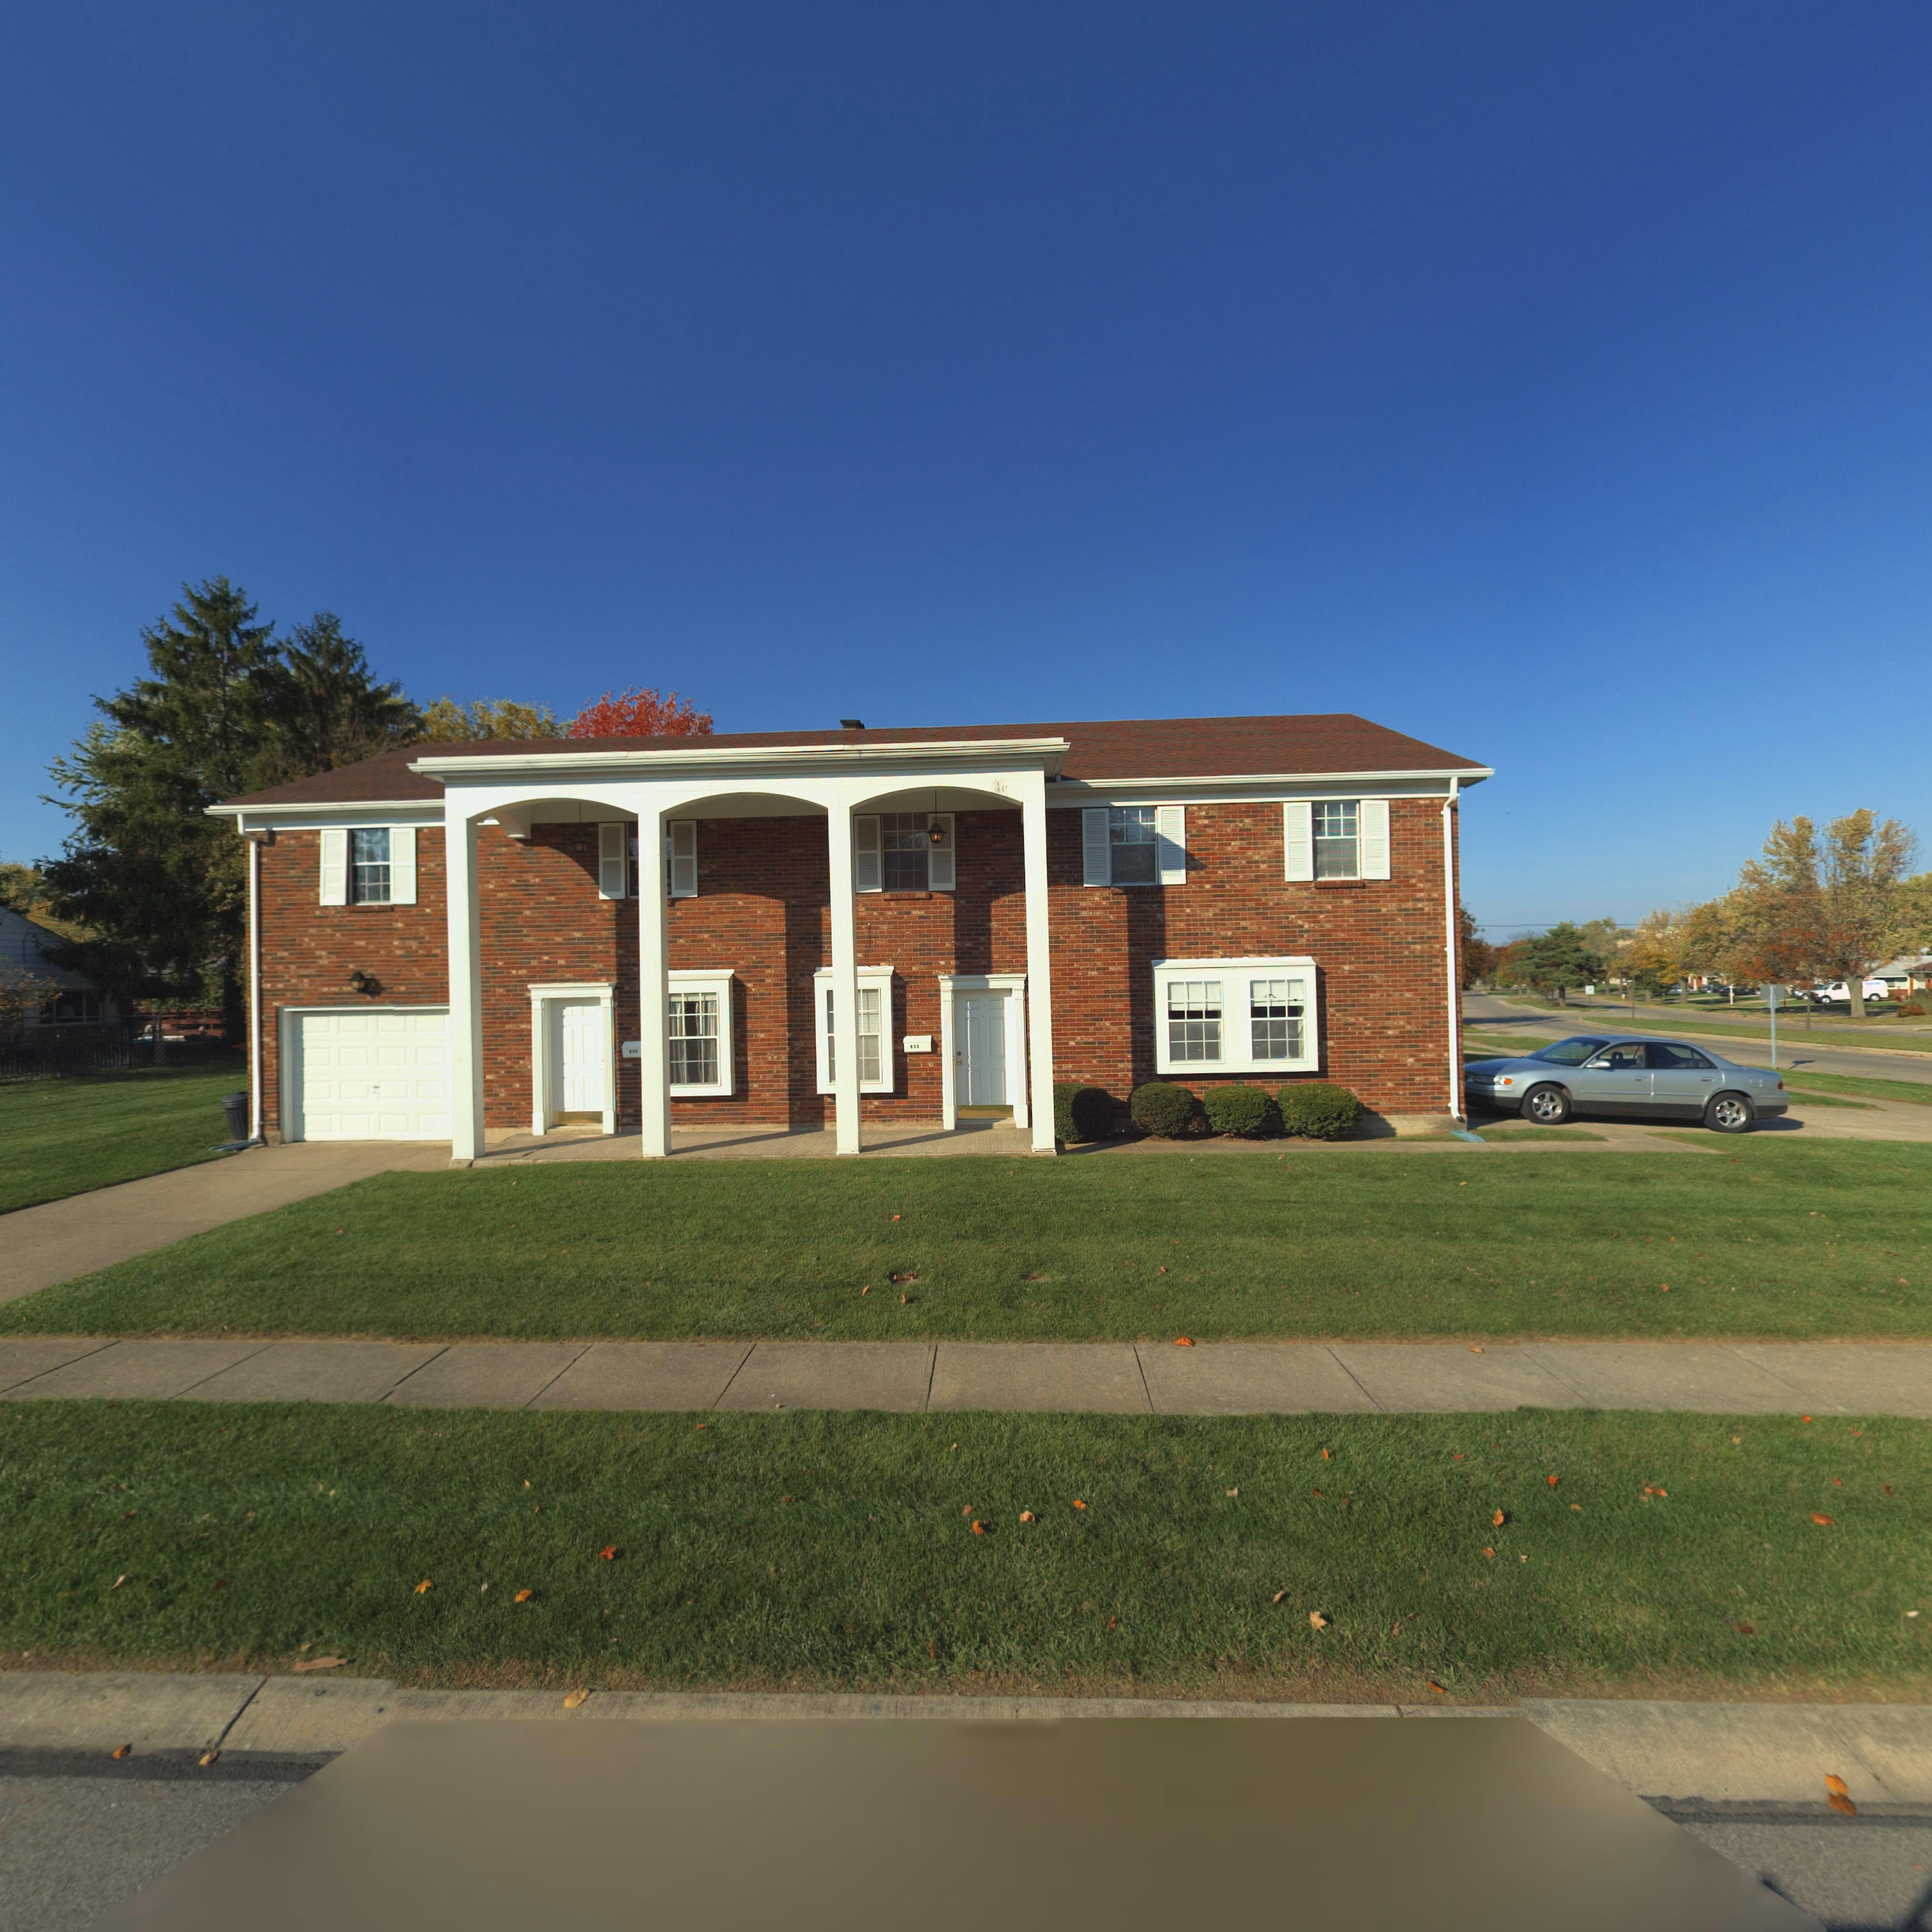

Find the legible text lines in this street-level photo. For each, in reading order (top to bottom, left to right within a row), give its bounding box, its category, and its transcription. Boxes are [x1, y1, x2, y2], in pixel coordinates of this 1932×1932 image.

[909, 1043, 920, 1050] StreetNumber: 813